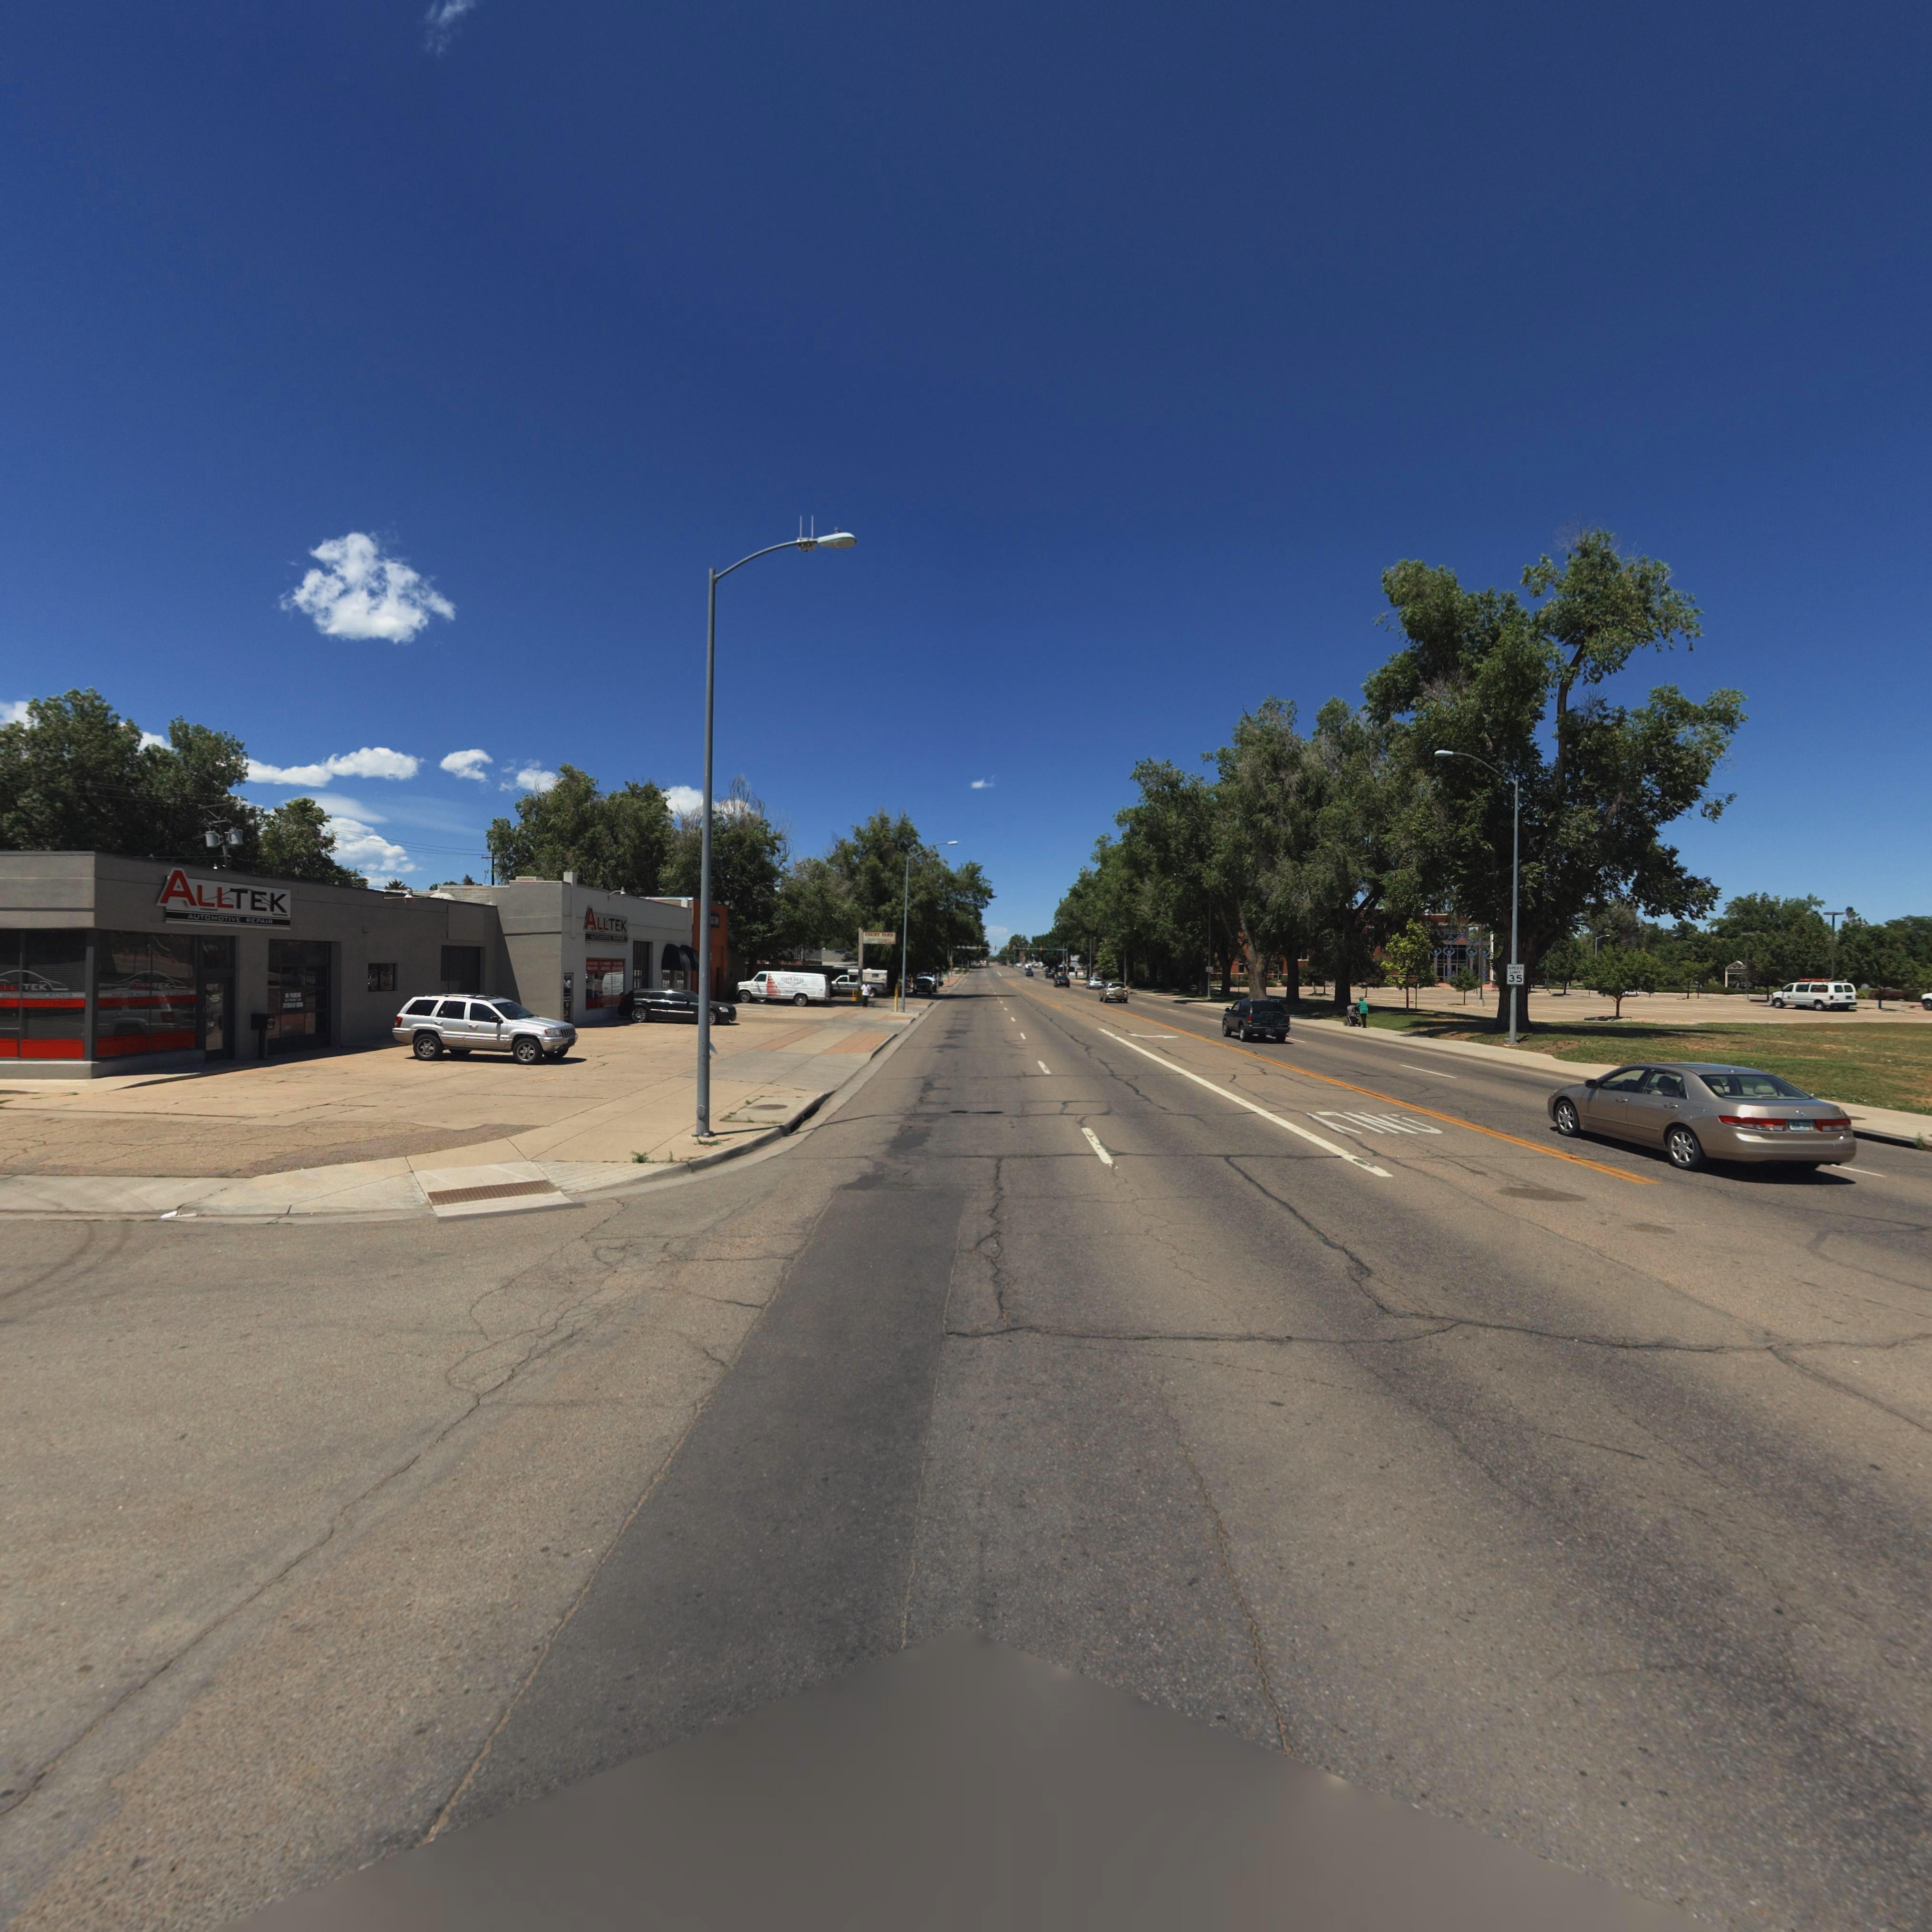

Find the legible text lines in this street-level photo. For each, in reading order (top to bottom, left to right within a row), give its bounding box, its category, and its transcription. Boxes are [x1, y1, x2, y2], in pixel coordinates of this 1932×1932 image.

[155, 867, 288, 913] BusinessName: ALLTEK
[187, 913, 273, 924] BusinessName: AUTOMOTIVE REPAIR
[583, 907, 627, 932] BusinessName: ALLTEK
[710, 916, 719, 925] BusinessName: *G SPA
[590, 934, 624, 940] BusinessName: AUTOMOTIVE REPAIR
[865, 932, 893, 937] BusinessName: COURT YARD
[868, 937, 890, 941] BusinessName: Studio Apartments
[3, 983, 48, 991] BusinessName: LL TEK
[130, 982, 171, 990] BusinessName: ALL TEK